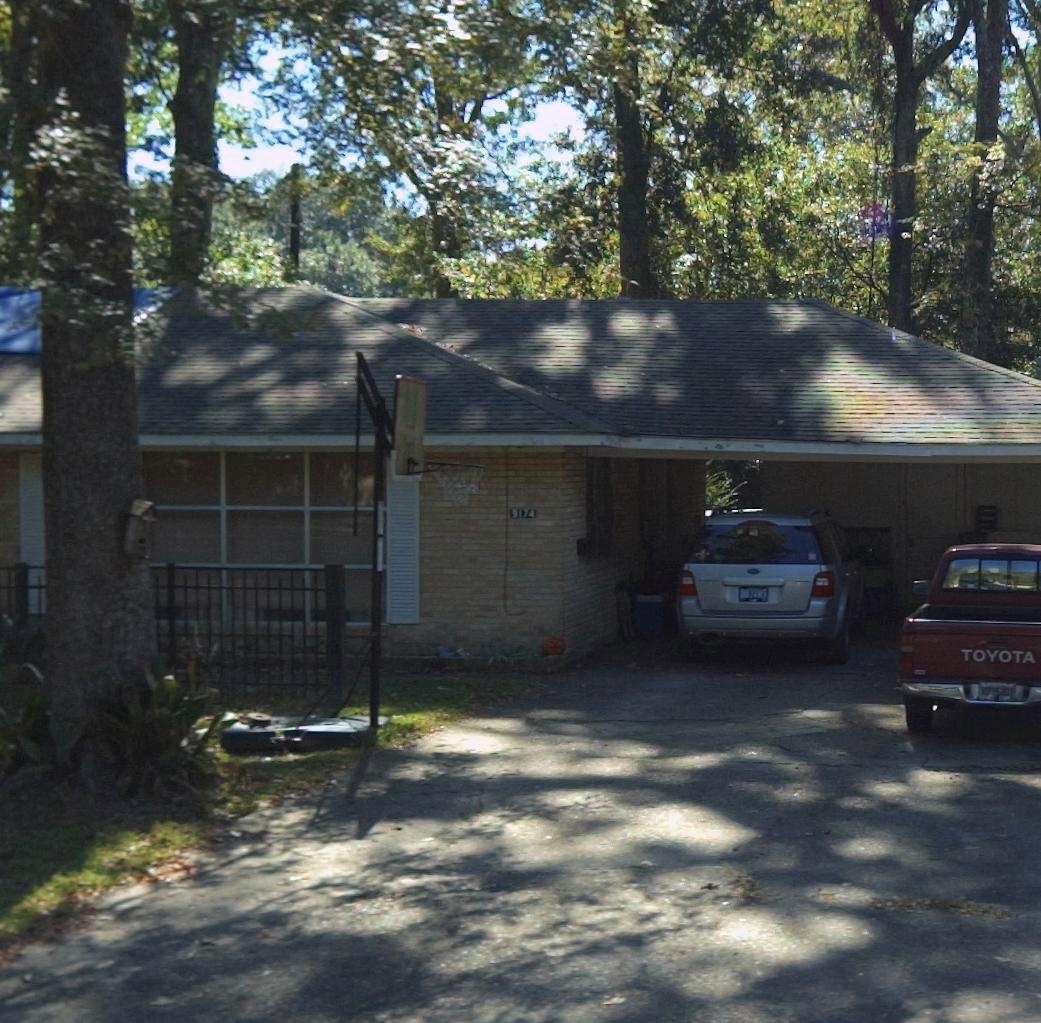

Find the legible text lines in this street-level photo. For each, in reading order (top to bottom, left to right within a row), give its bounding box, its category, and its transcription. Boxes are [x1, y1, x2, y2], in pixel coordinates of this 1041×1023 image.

[510, 507, 537, 520] StreetNumber: 9174
[958, 647, 1038, 666] None: TOYOTA